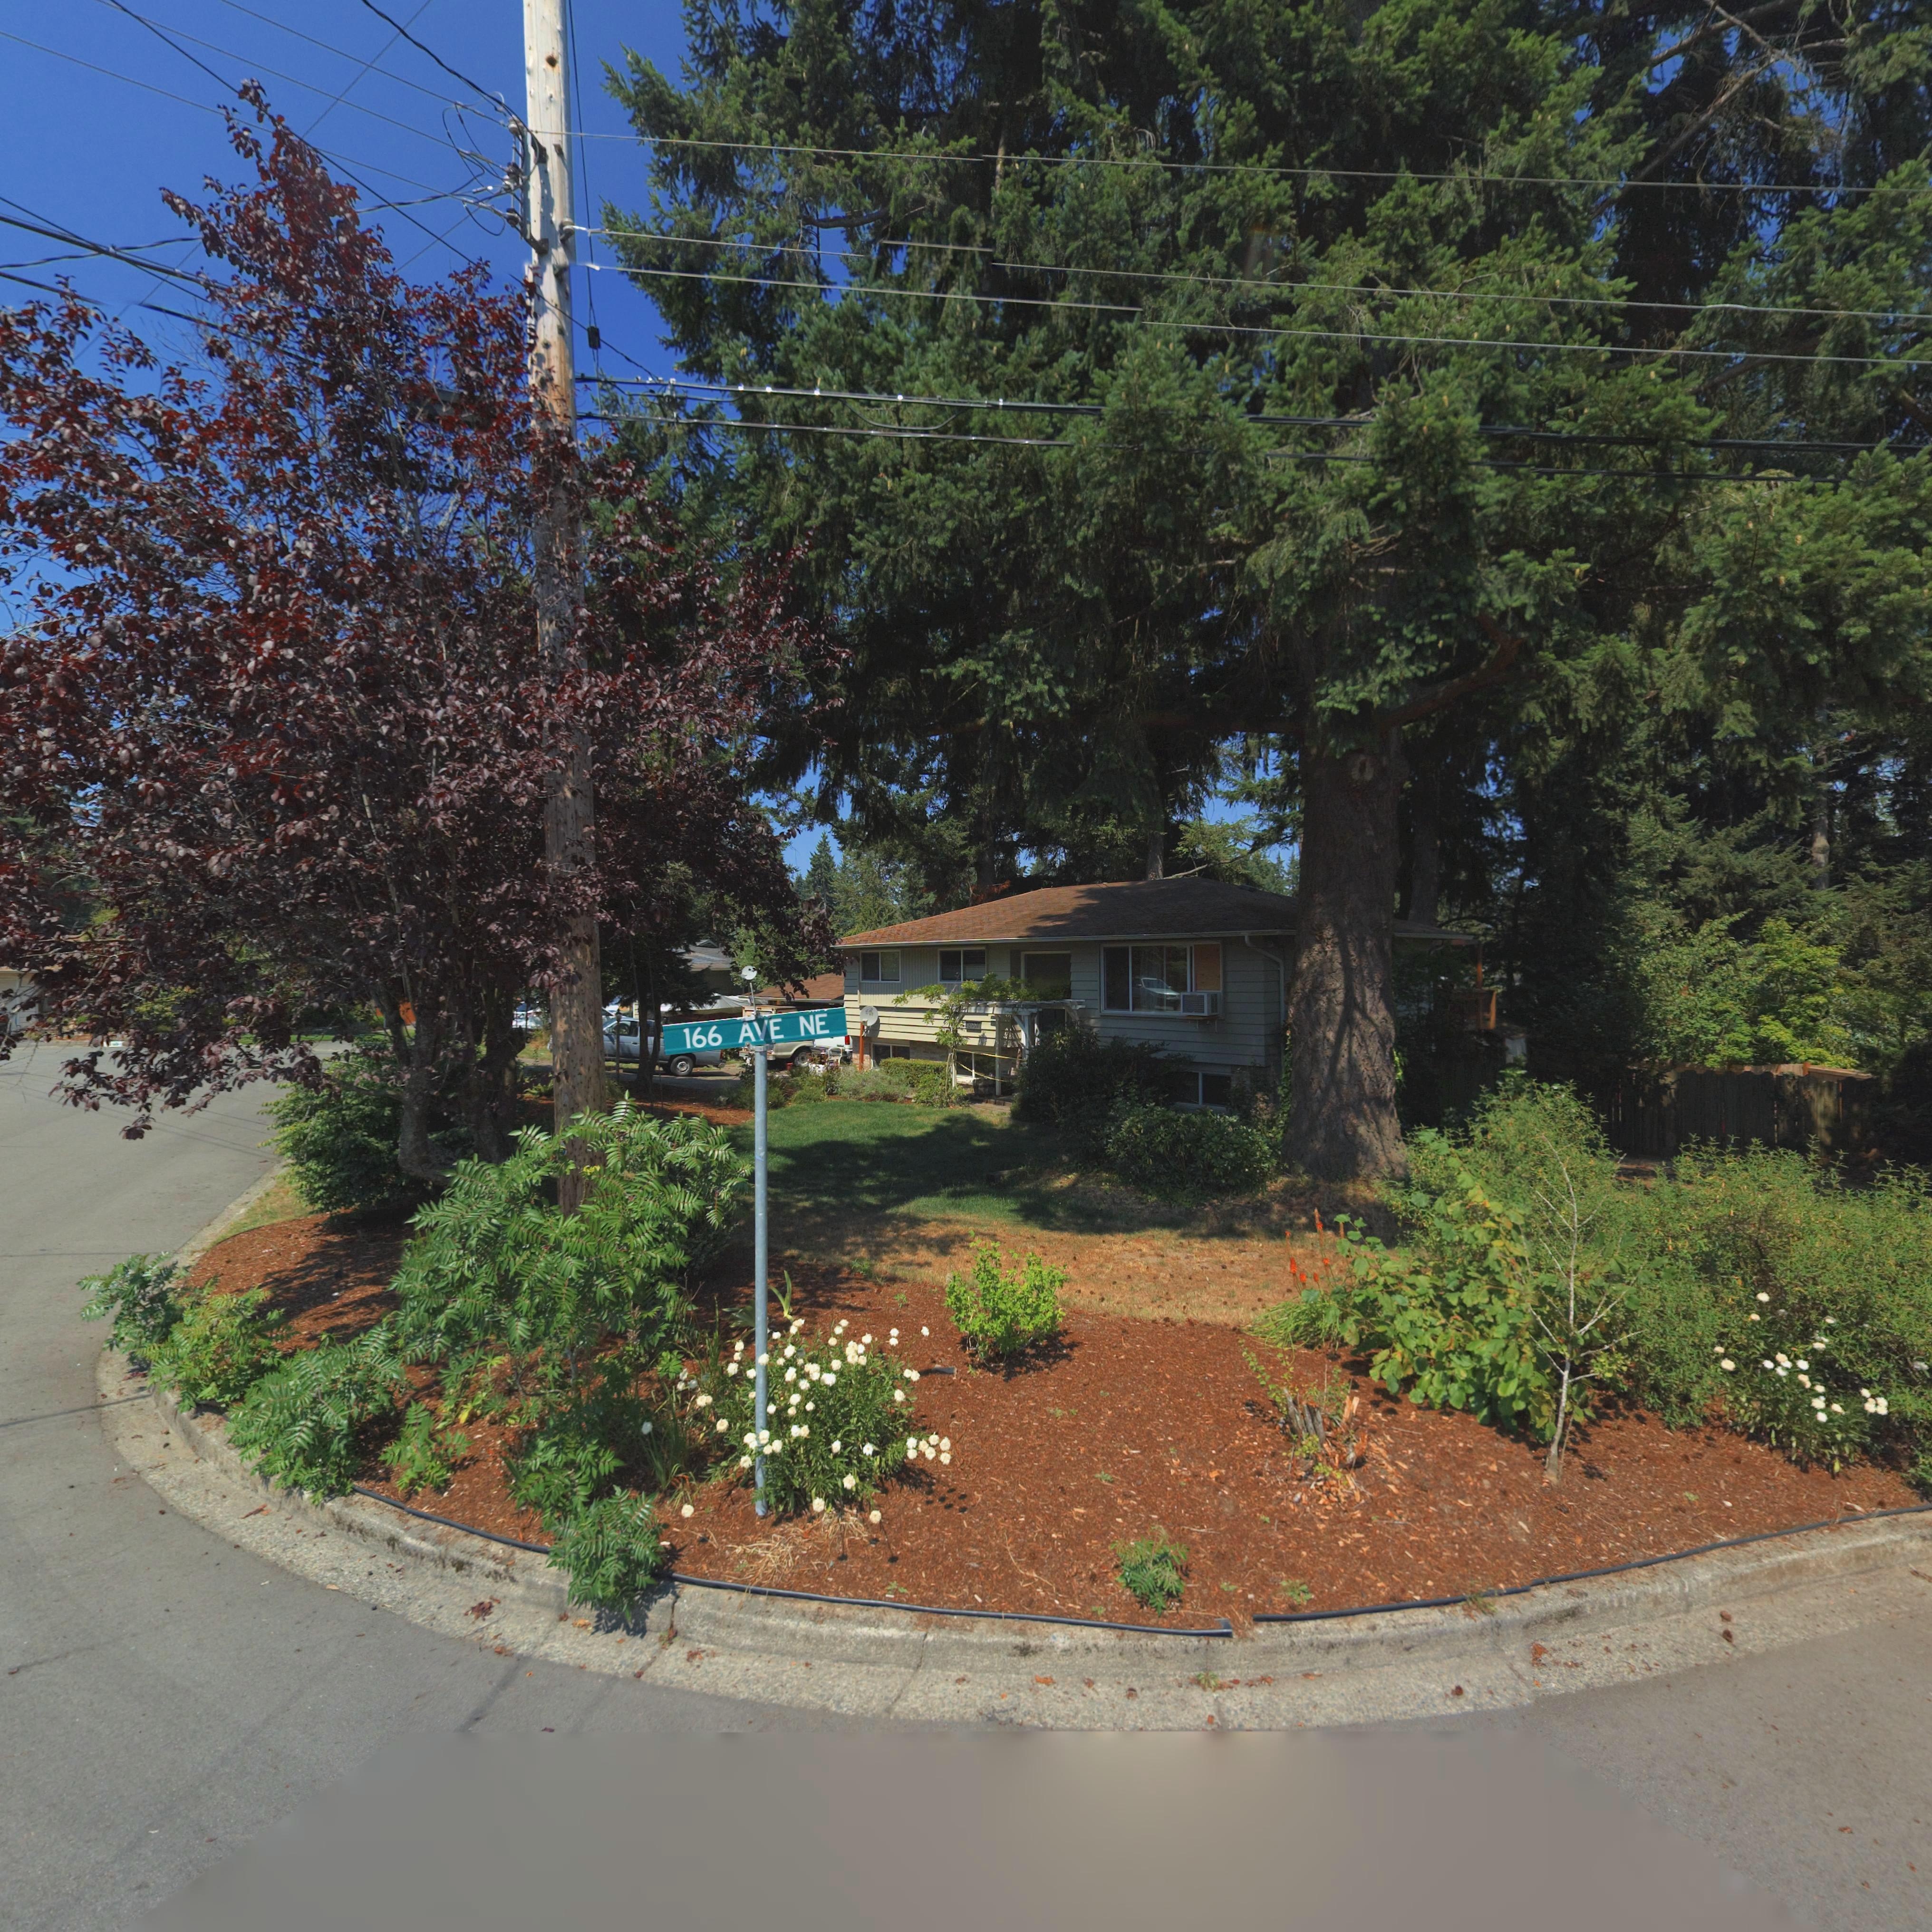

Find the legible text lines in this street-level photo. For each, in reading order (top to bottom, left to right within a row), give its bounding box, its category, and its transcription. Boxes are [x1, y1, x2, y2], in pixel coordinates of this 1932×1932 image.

[683, 1012, 830, 1049] StreetName: 166 AVE NE